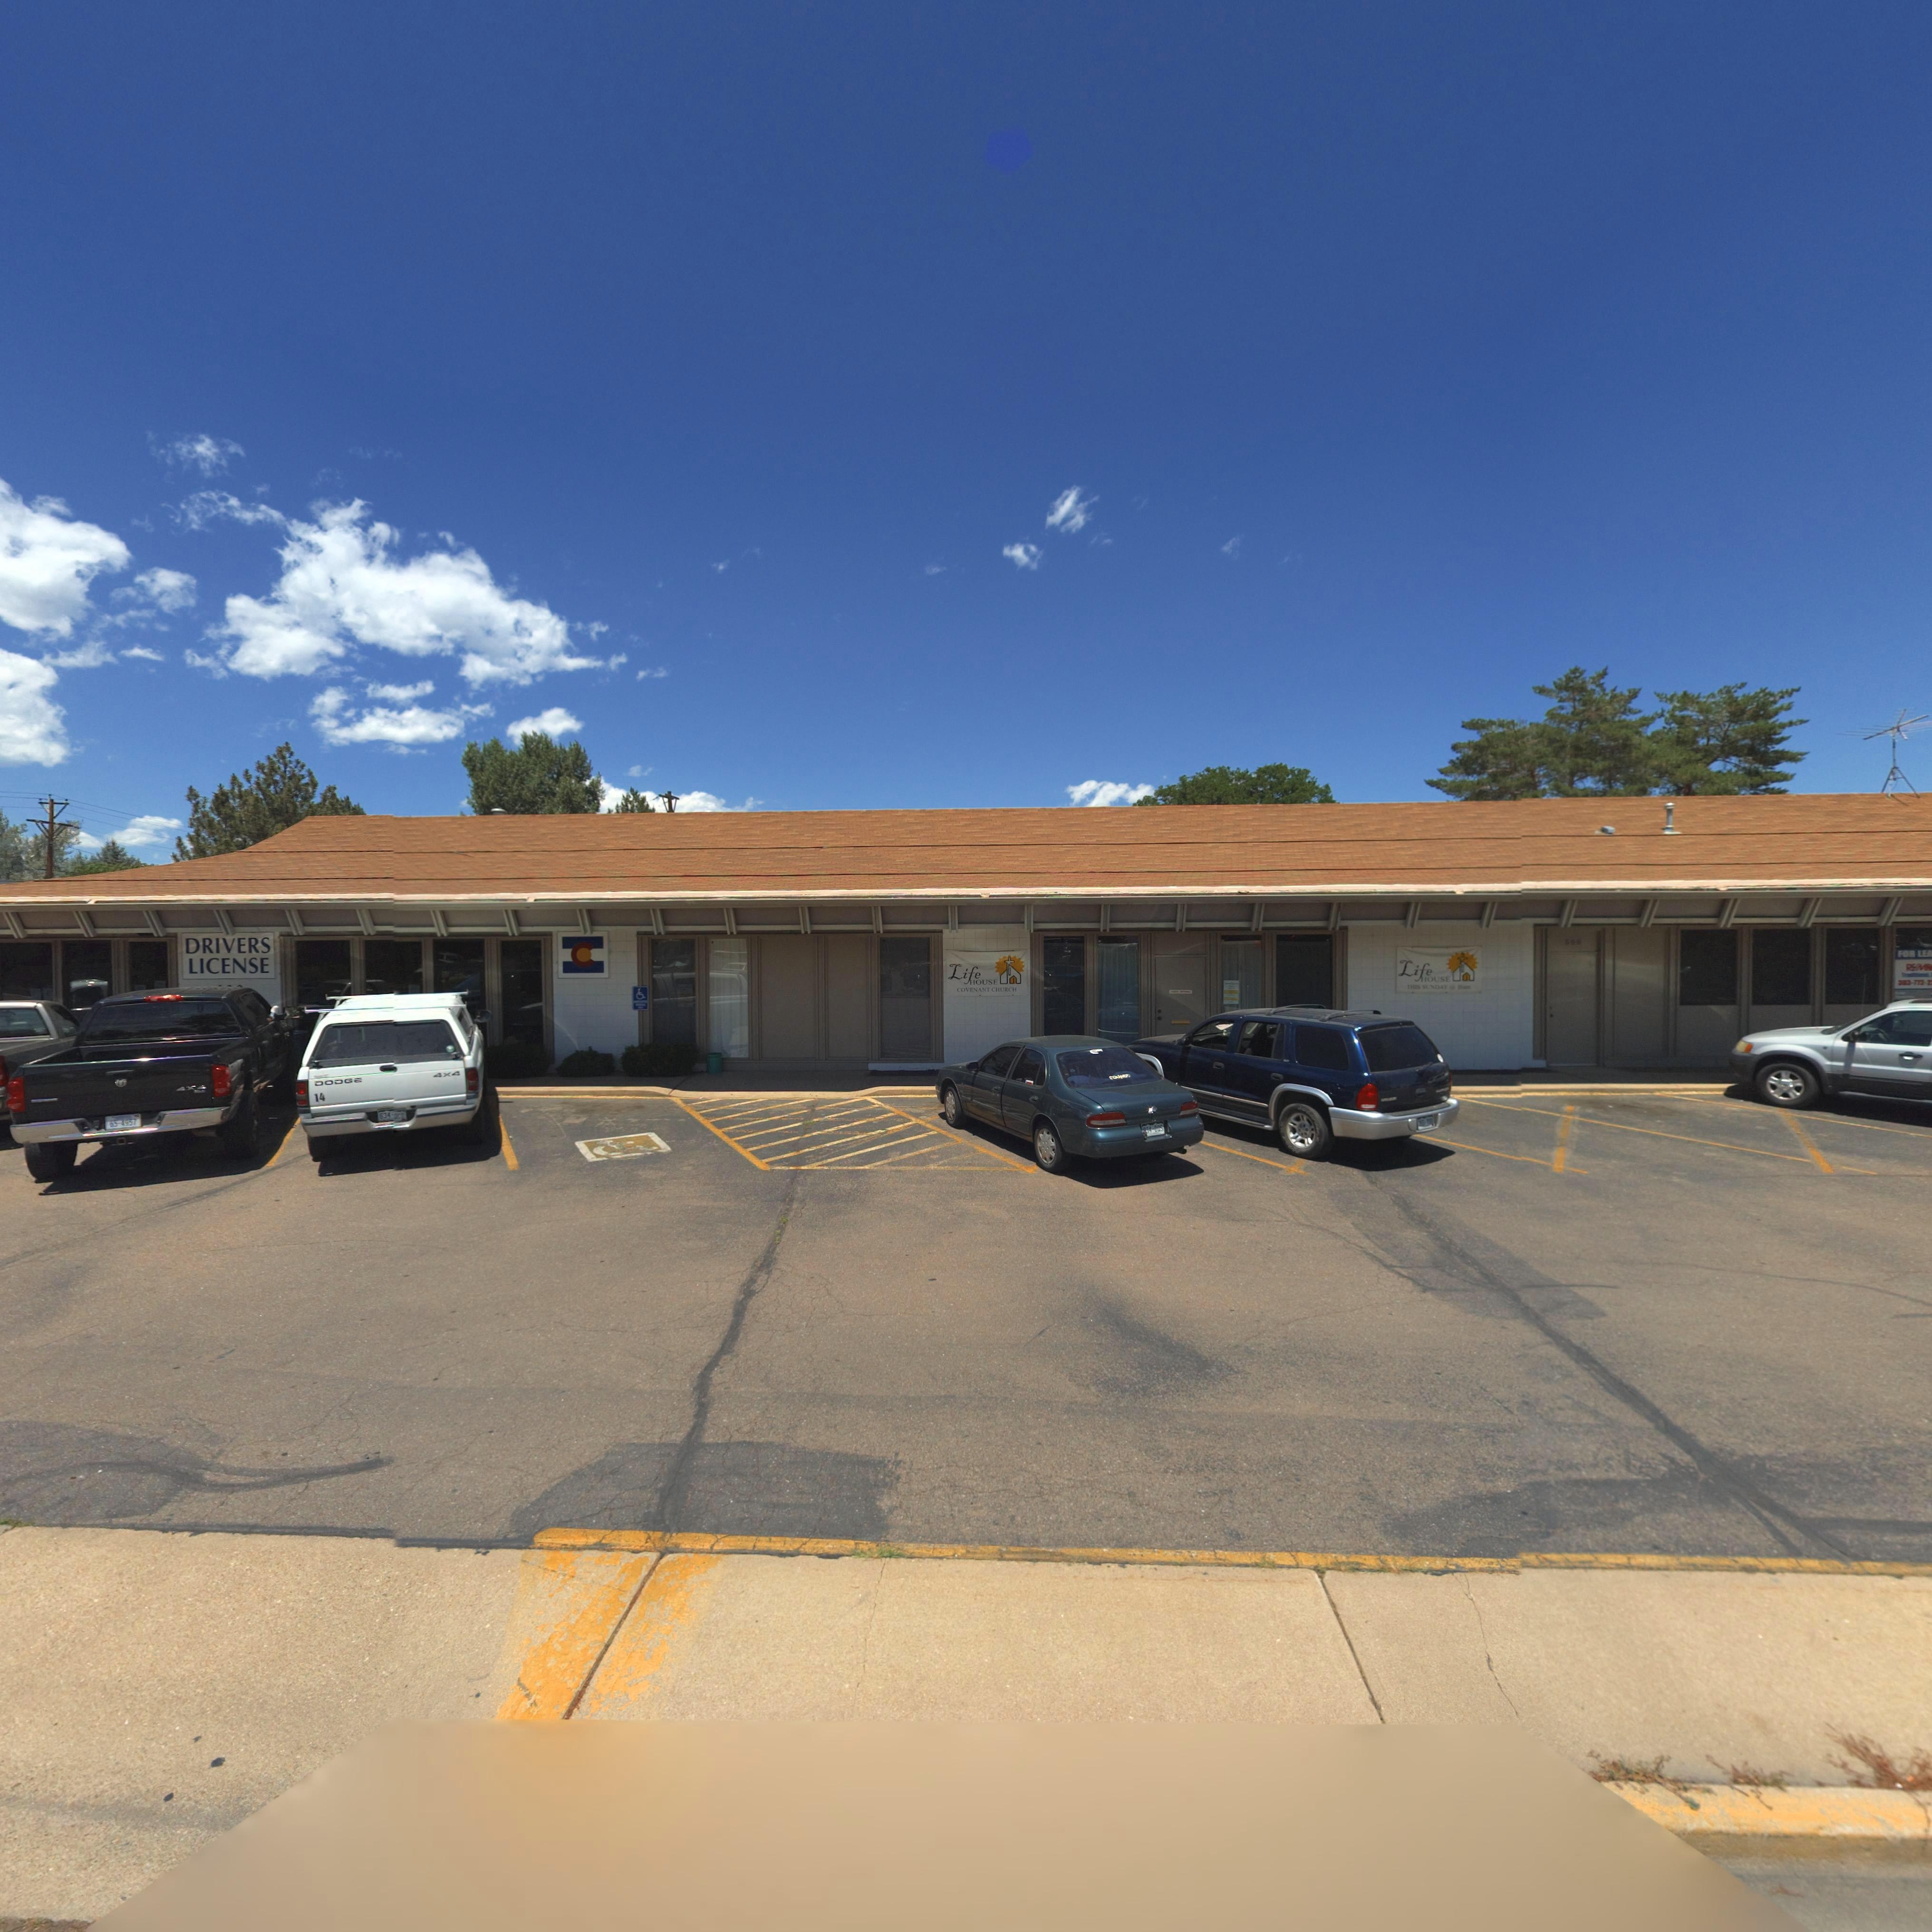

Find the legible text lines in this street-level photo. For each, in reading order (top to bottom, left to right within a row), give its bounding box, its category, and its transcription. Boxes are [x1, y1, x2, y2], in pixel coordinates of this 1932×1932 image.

[947, 963, 980, 985] BusinessName: Life
[1398, 959, 1432, 982] BusinessName: Life
[969, 978, 998, 985] BusinessName: HOUSE
[1420, 975, 1451, 983] BusinessName: HOUSE
[956, 986, 1017, 992] BusinessName: COVENANT CHURCH